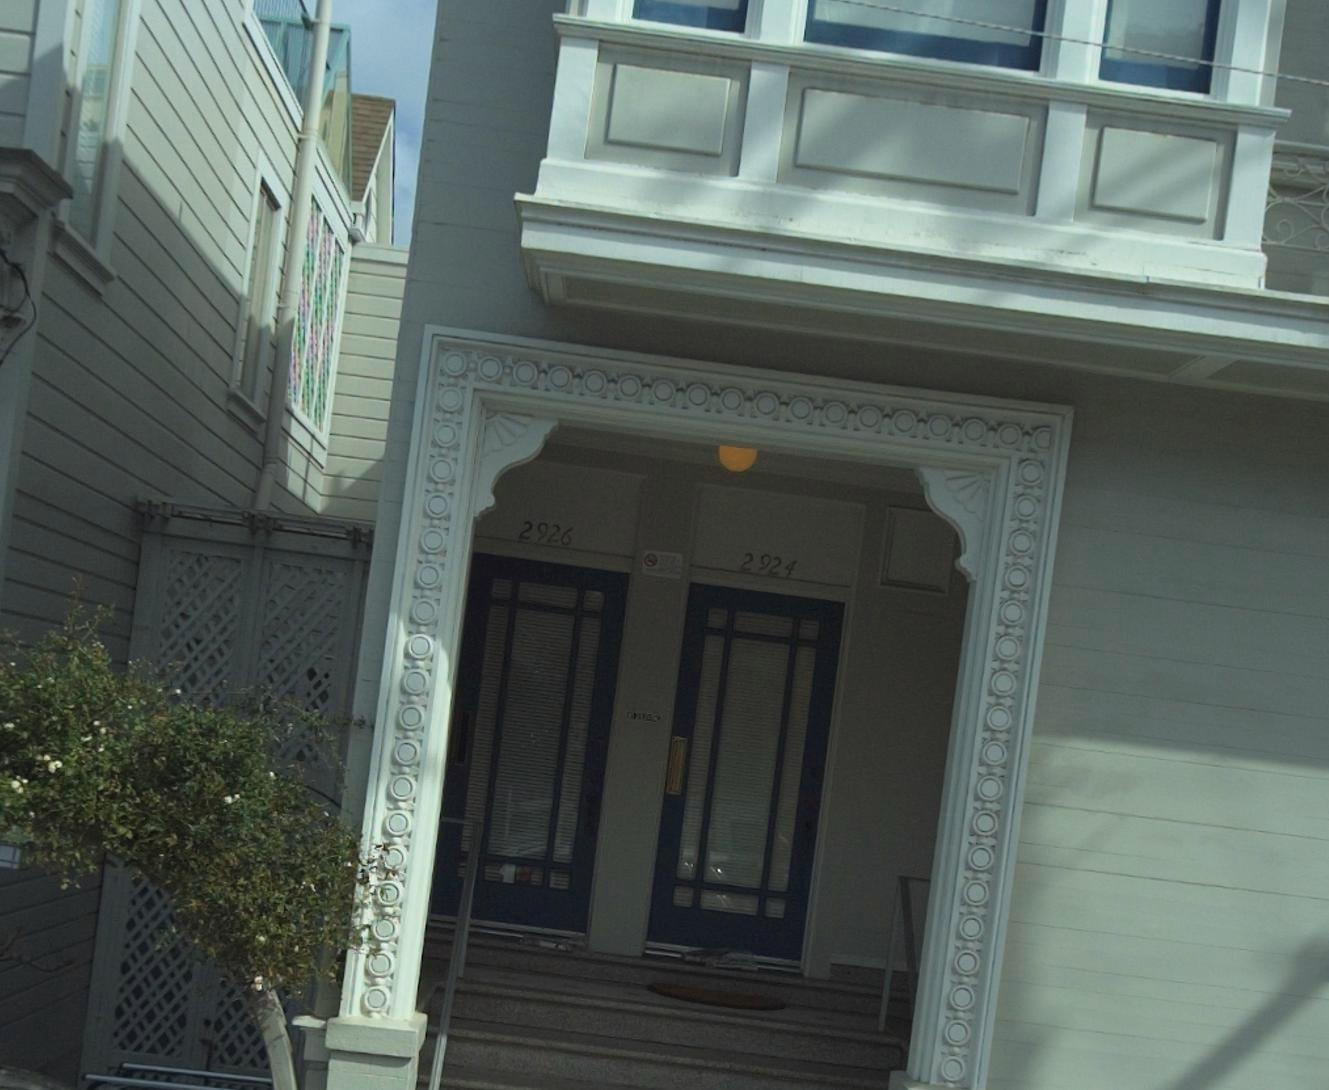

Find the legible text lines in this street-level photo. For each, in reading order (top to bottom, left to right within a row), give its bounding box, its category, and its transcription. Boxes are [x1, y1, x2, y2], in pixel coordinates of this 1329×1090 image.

[514, 517, 576, 549] StreetNumber: 2926
[735, 550, 799, 581] StreetNumber: 2924